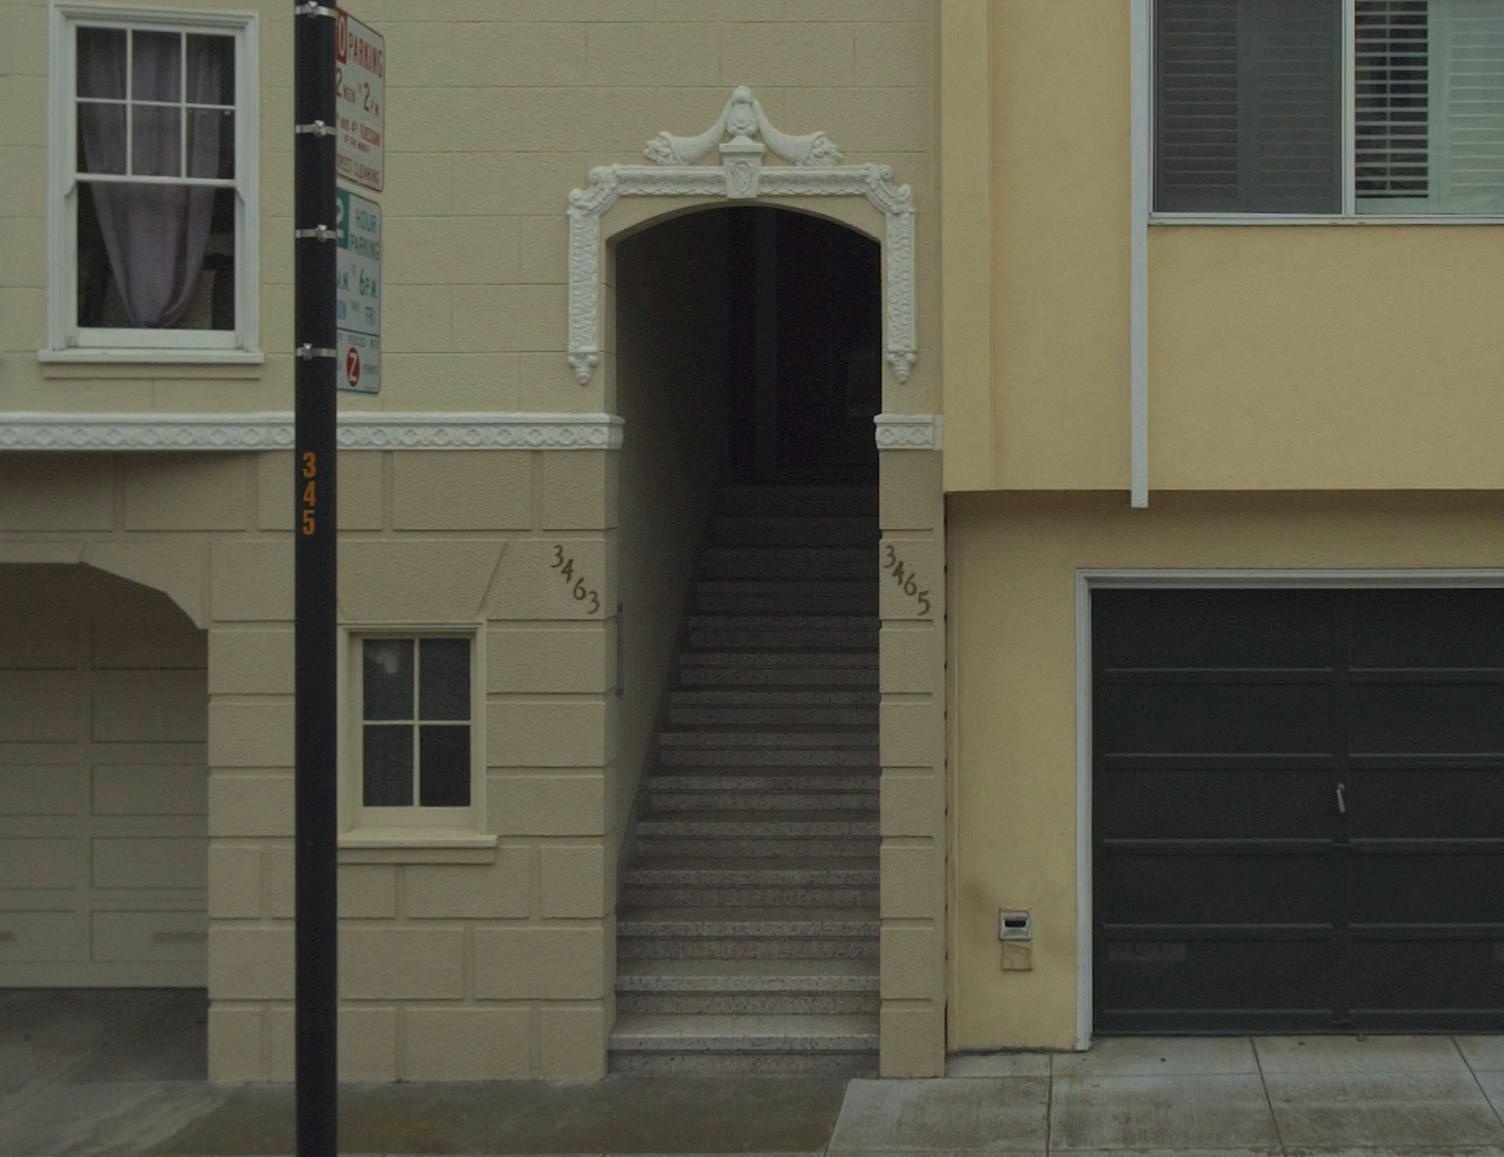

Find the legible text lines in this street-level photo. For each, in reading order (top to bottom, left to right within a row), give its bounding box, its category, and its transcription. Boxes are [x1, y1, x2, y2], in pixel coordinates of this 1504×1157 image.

[335, 11, 385, 81] None: O PARKING
[335, 65, 345, 100] None: 2
[362, 80, 373, 114] None: 2
[351, 159, 381, 188] None: CLEANING
[353, 206, 378, 237] None: HOUR
[348, 231, 381, 264] None: PARKING
[358, 265, 367, 296] None: 6
[363, 304, 377, 330] None: FRI
[348, 350, 360, 384] None: Z
[301, 450, 317, 537] None: 345
[548, 542, 602, 616] StreetNumber: 3463
[881, 543, 932, 617] StreetNumber: 3465